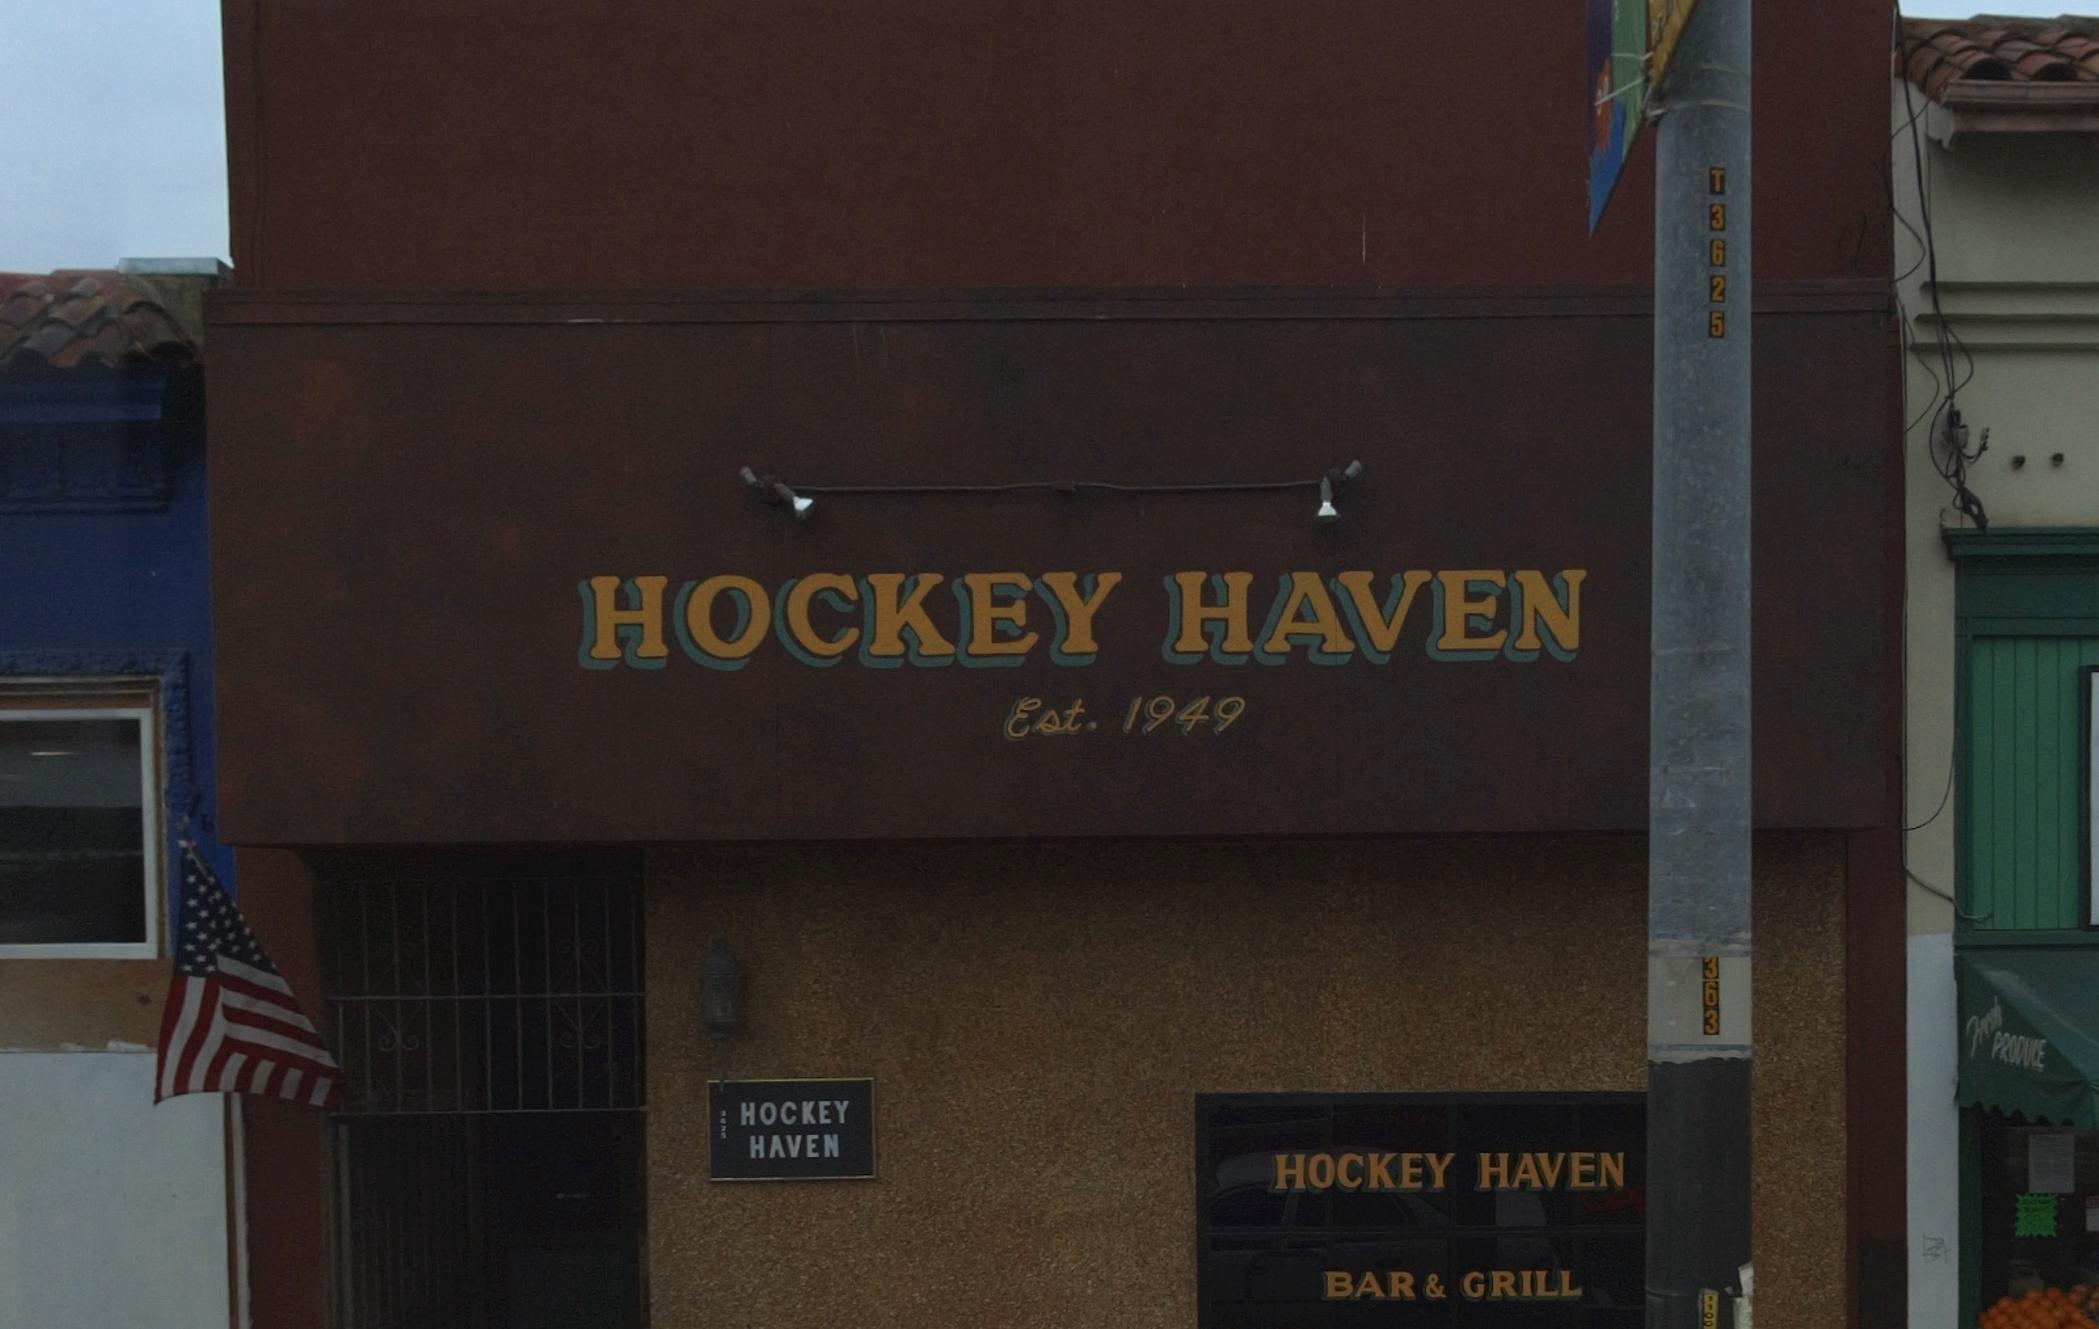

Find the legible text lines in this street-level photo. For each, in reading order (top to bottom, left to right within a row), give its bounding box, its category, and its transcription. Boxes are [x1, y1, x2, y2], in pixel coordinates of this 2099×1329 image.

[1708, 166, 1726, 340] None: T3625
[571, 559, 1592, 680] BusinessName: Hockey Haven
[999, 692, 1252, 744] None: Est. 1949
[1702, 953, 1719, 1035] None: 363
[1960, 989, 2005, 1065] None: Fresh
[1987, 1028, 2051, 1076] None: PRO*****E
[739, 1098, 851, 1128] BusinessName: HOCKEY
[747, 1132, 841, 1161] BusinessName: HAVEN
[1265, 1149, 1628, 1195] BusinessName: HOCKEY HAVEN
[1319, 1269, 1584, 1305] BusinessName: BAR & GRILL
[1703, 1295, 1716, 1328] None: 1100